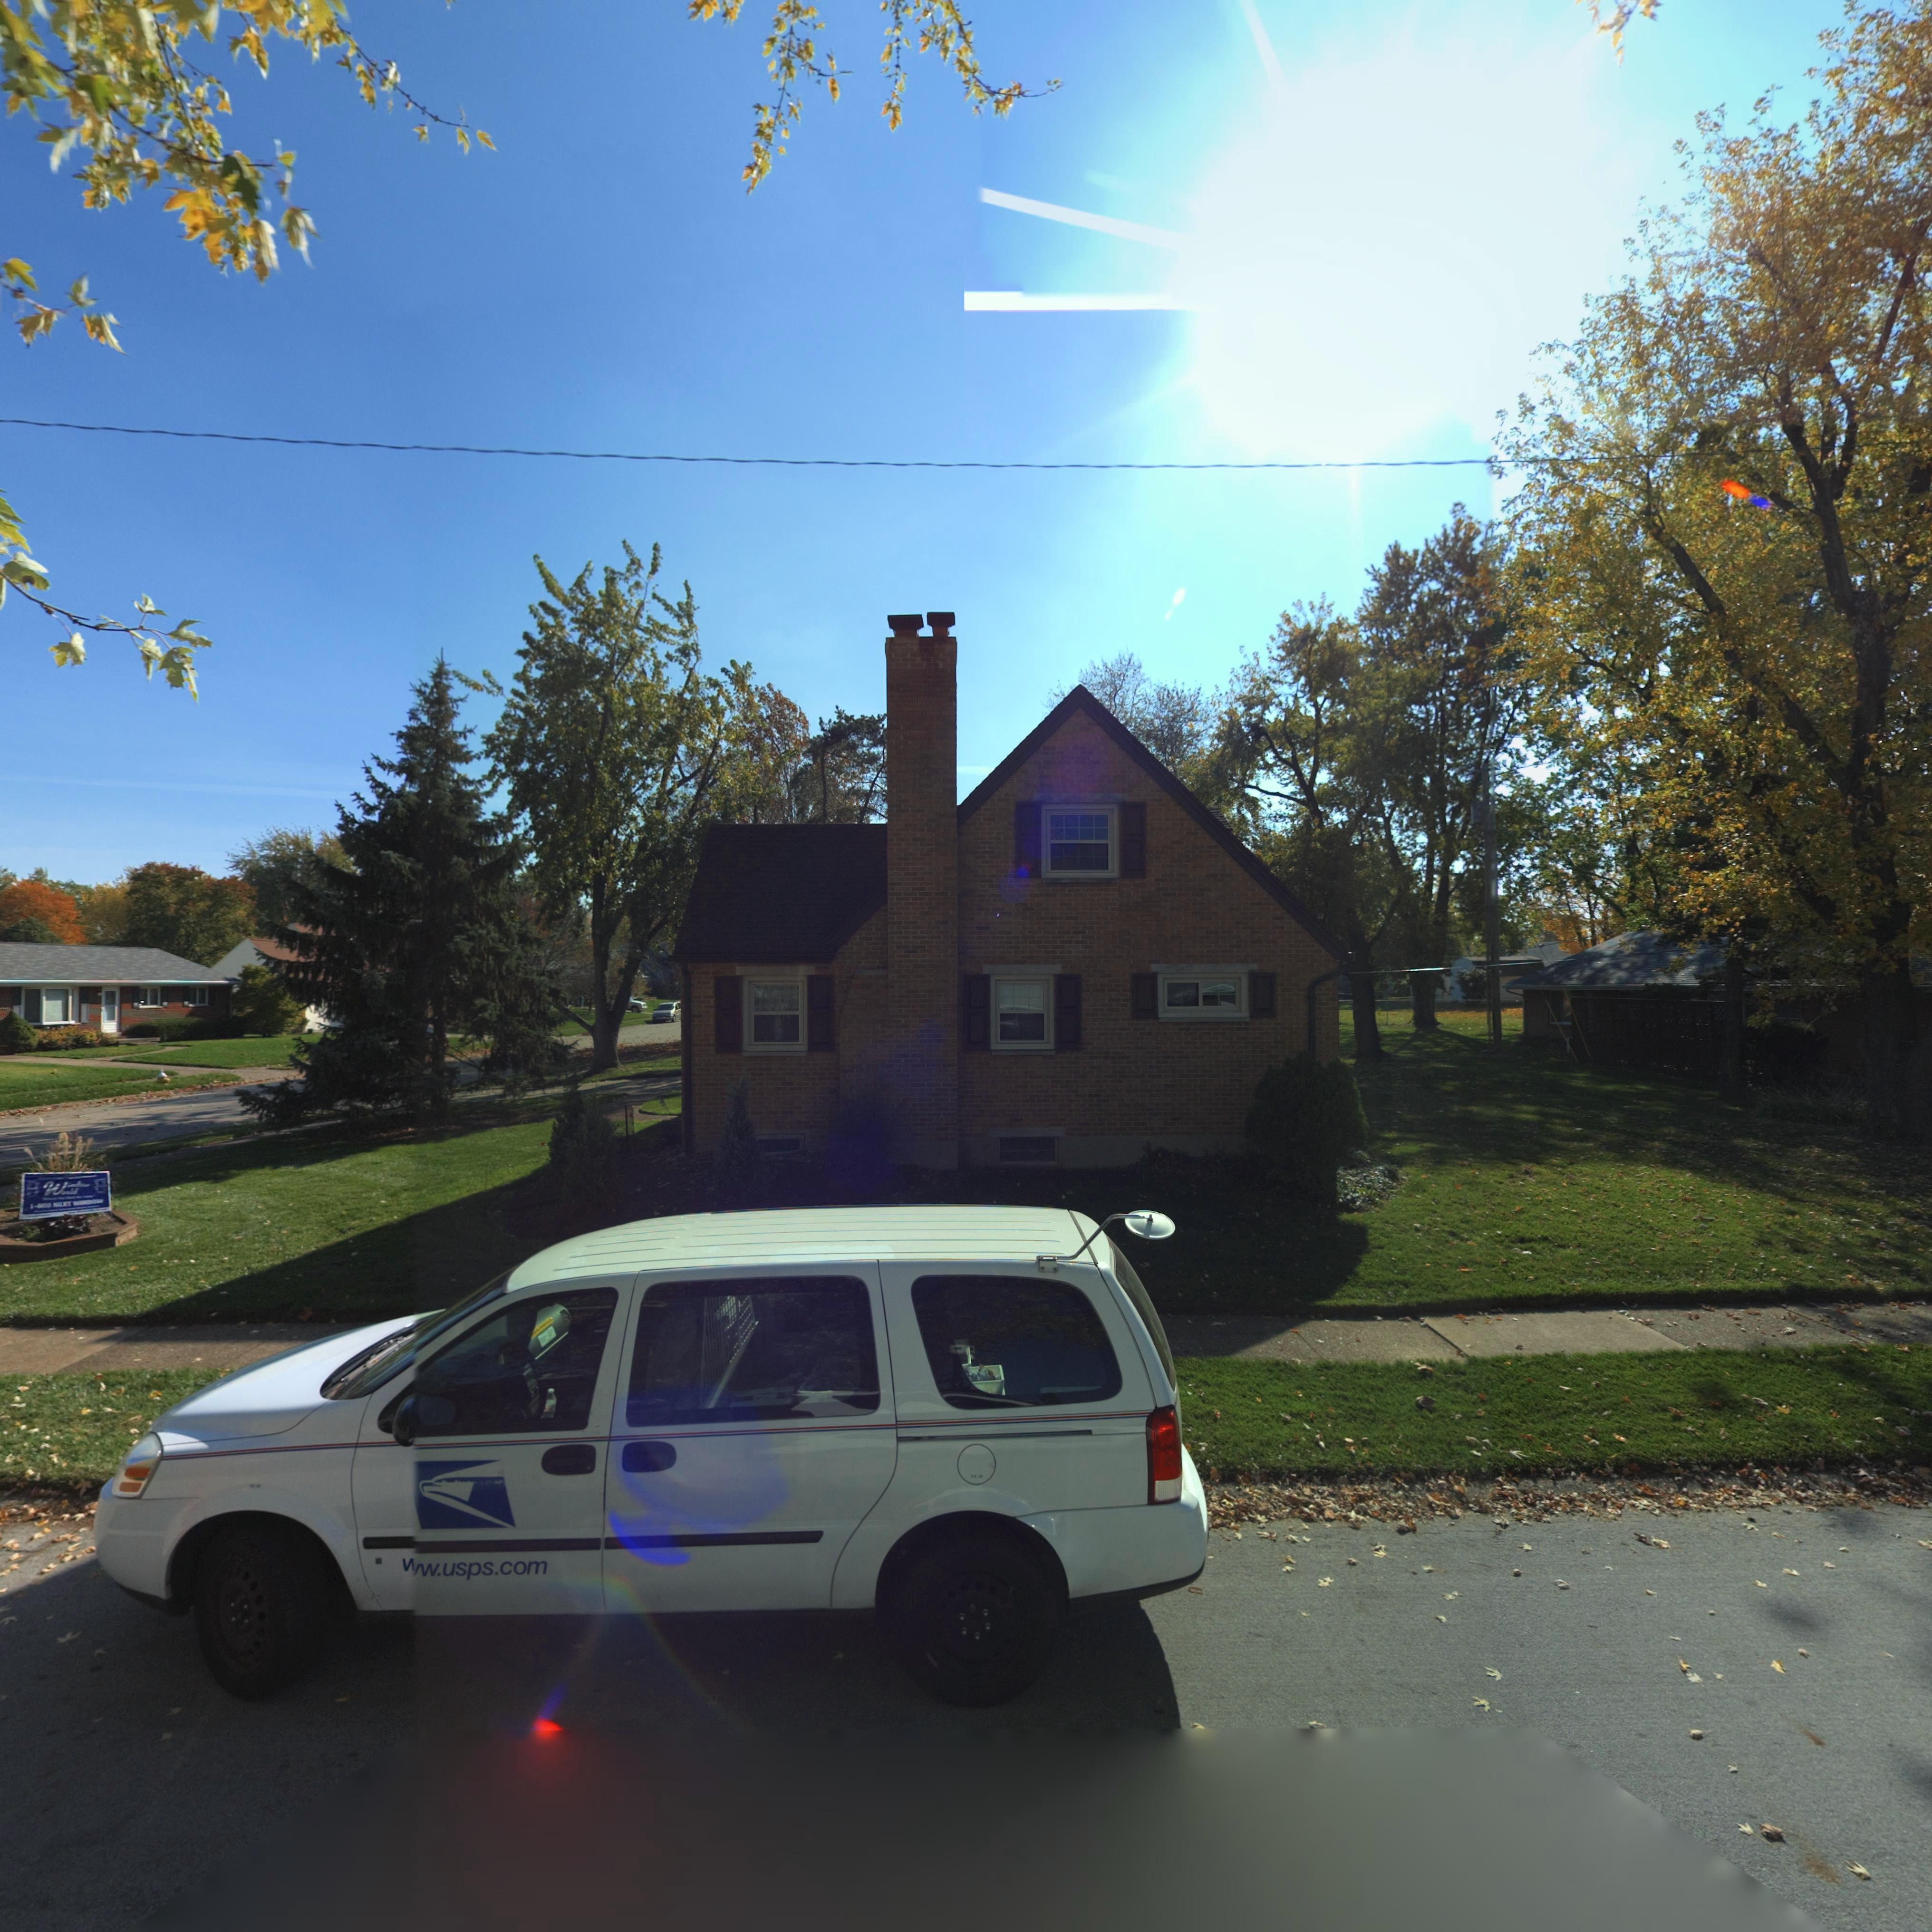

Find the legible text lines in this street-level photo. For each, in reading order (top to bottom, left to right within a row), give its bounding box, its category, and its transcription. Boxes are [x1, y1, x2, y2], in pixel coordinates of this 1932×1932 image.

[42, 1180, 69, 1196] None: W
[60, 1187, 79, 1195] None: orld
[29, 1198, 104, 1210] None: 1-800 NEXT WINDOW
[419, 1561, 550, 1581] None: w.usps.com